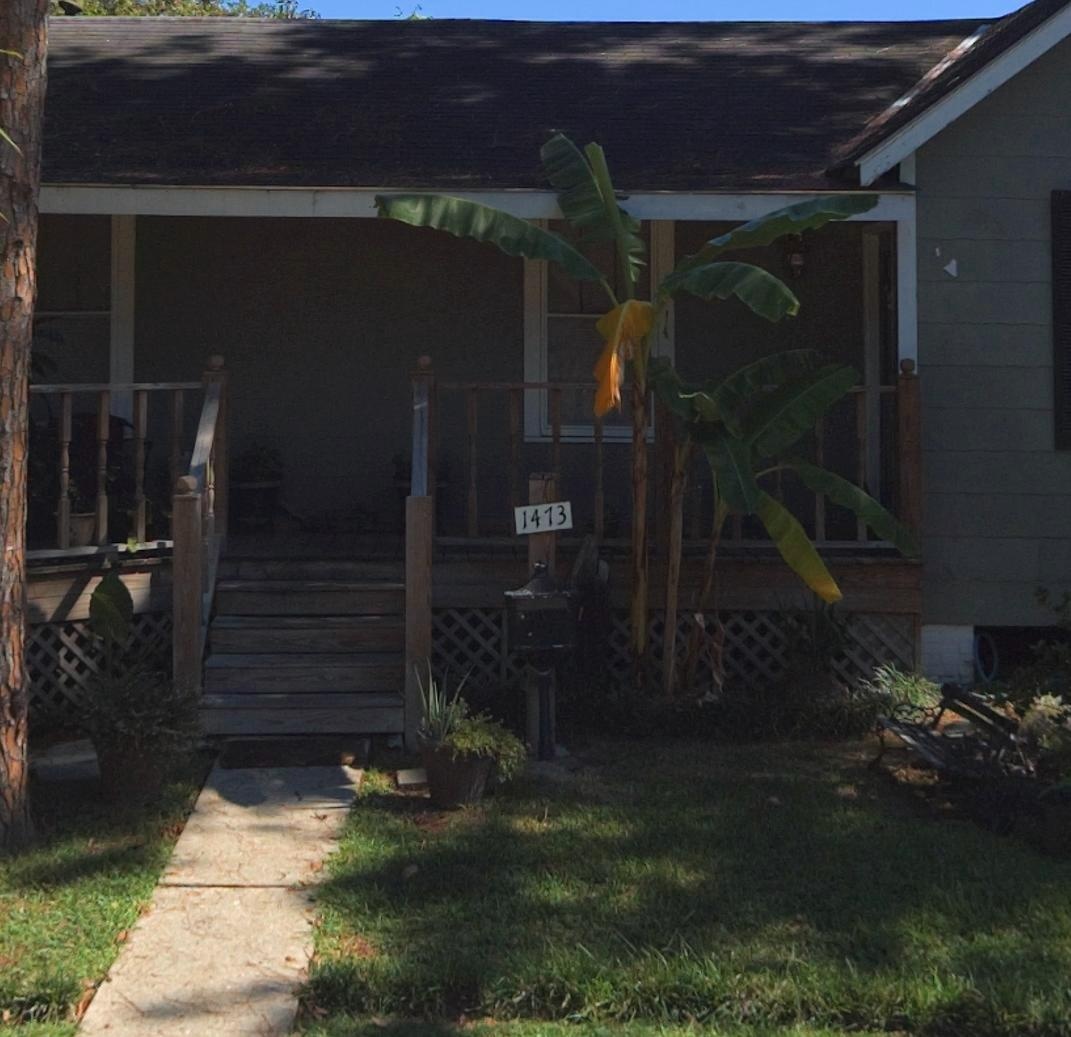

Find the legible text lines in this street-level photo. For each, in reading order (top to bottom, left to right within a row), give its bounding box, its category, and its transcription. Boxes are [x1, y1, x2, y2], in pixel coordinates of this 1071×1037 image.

[520, 502, 569, 531] StreetNumber: 1473